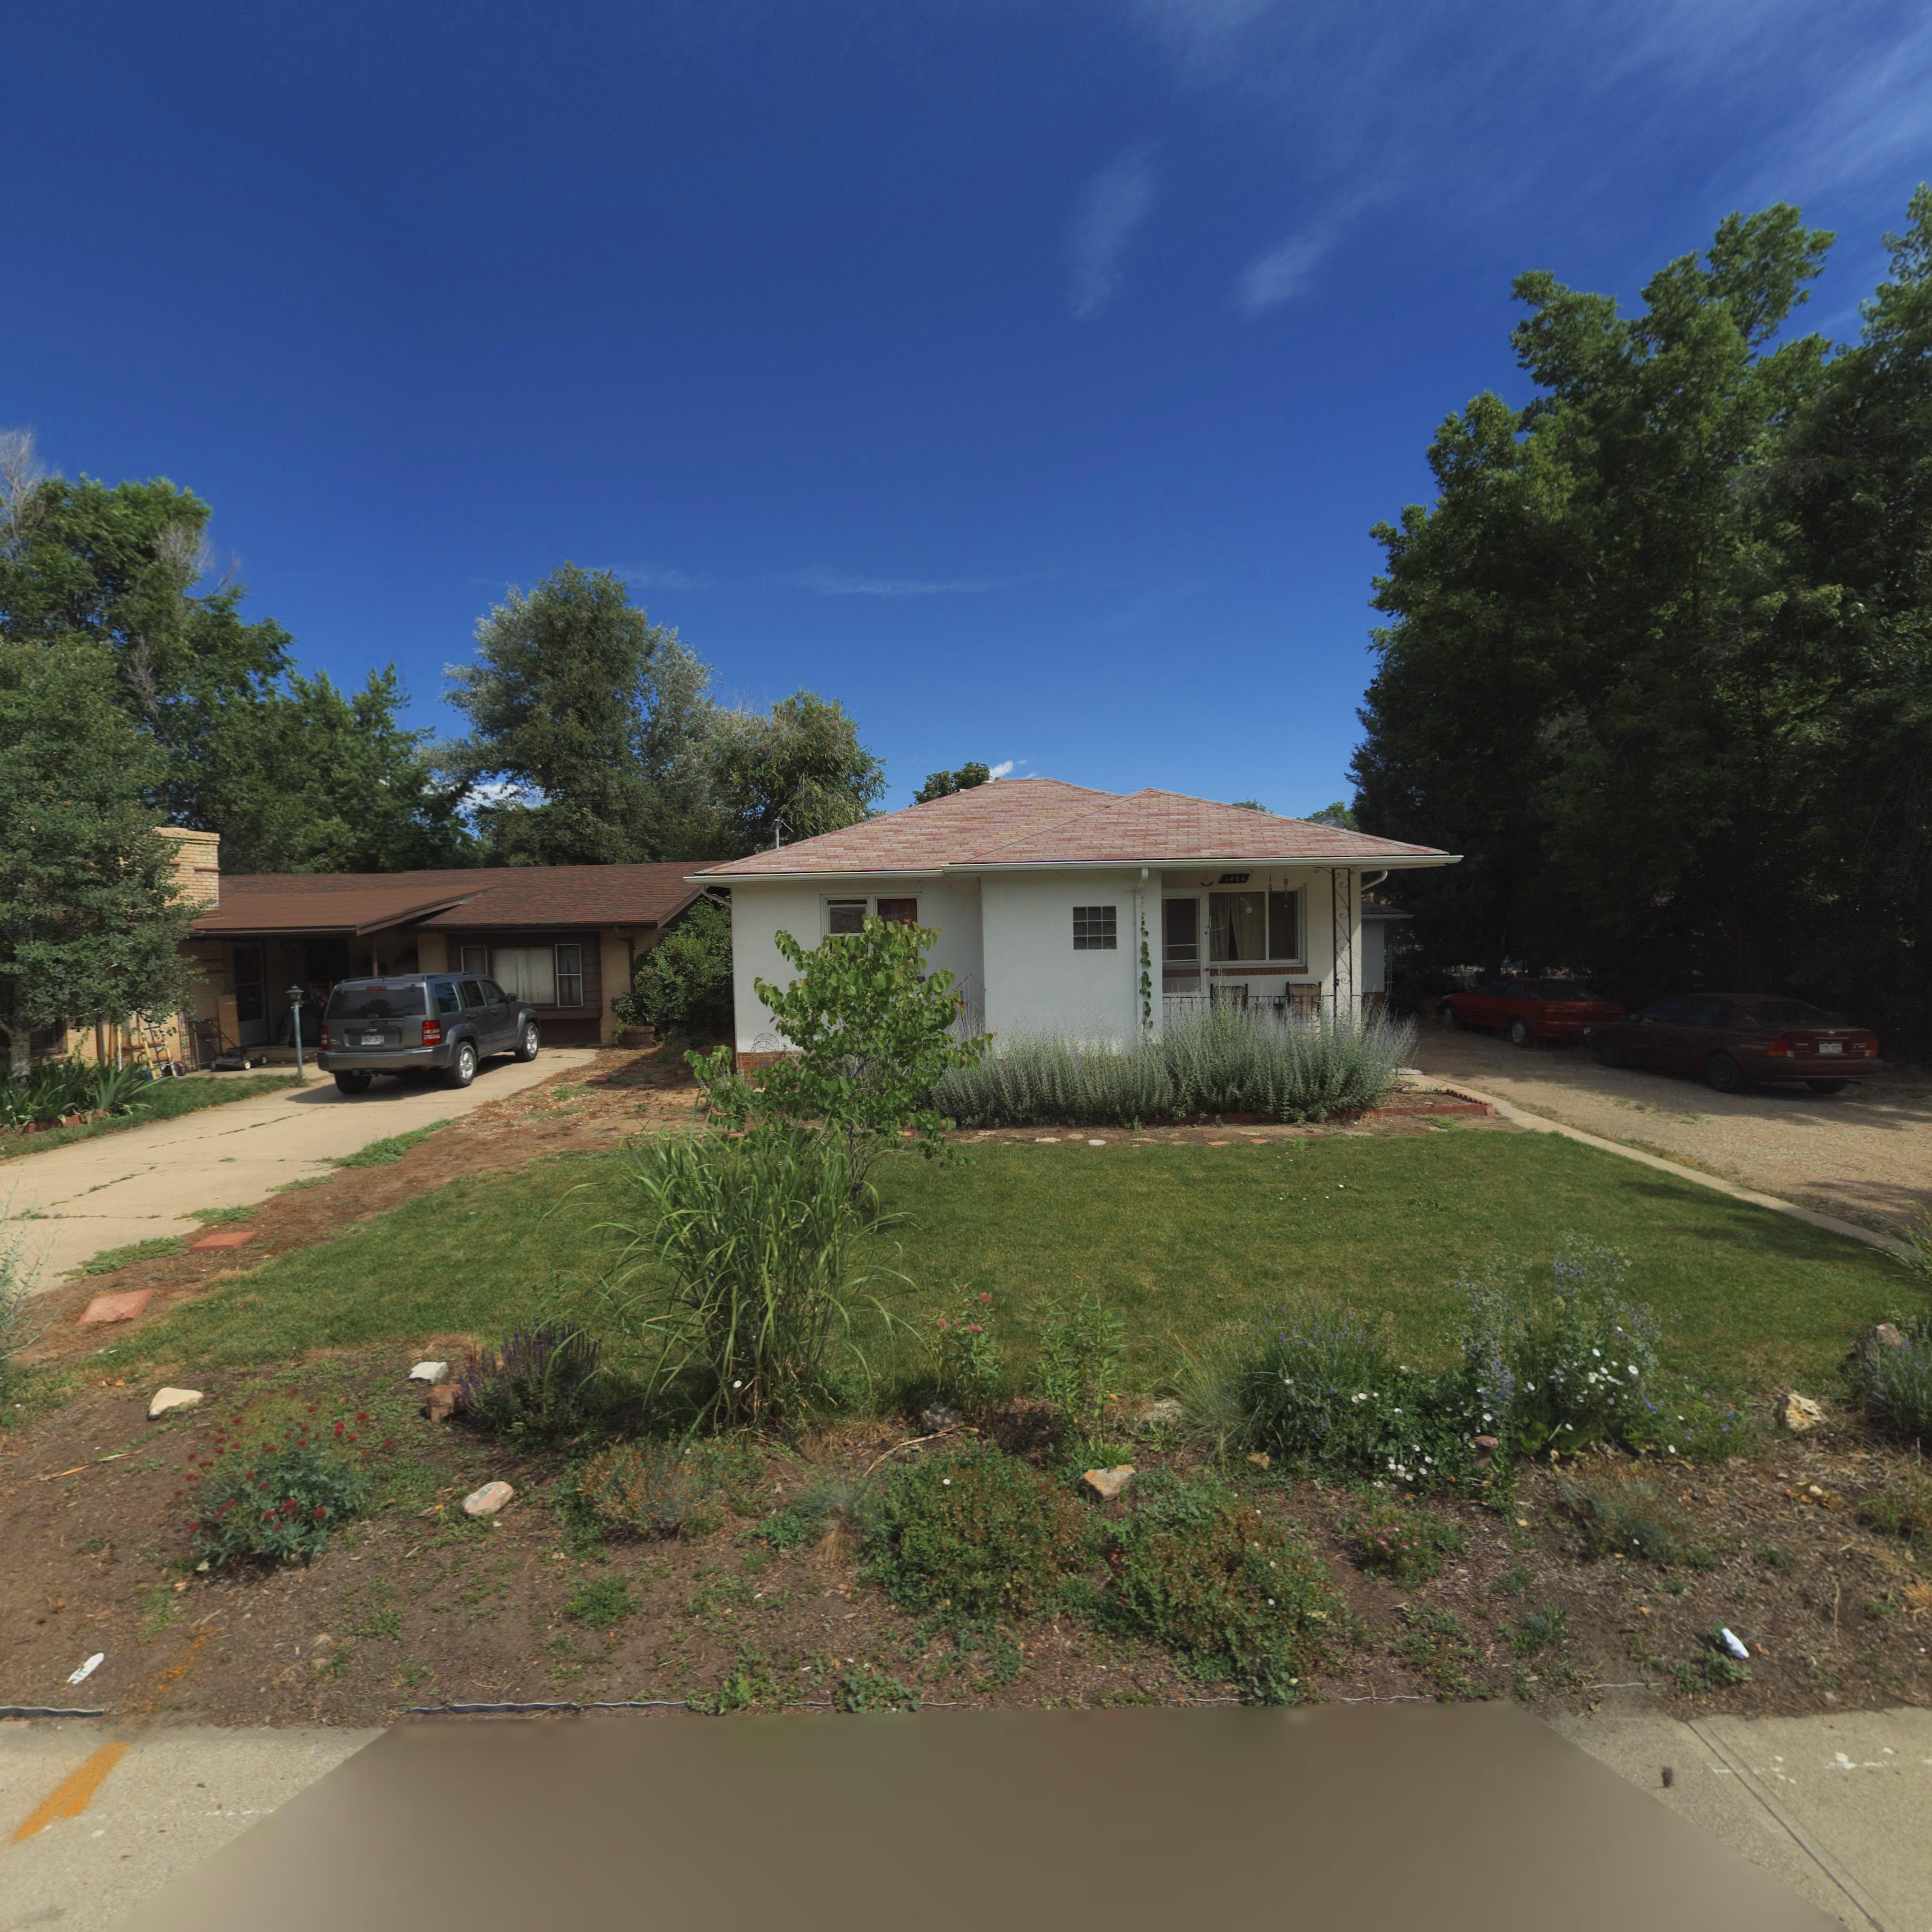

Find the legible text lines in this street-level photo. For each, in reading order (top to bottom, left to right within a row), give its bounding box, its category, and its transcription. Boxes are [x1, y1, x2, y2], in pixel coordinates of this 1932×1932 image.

[1225, 875, 1245, 882] StreetNumber: 1406